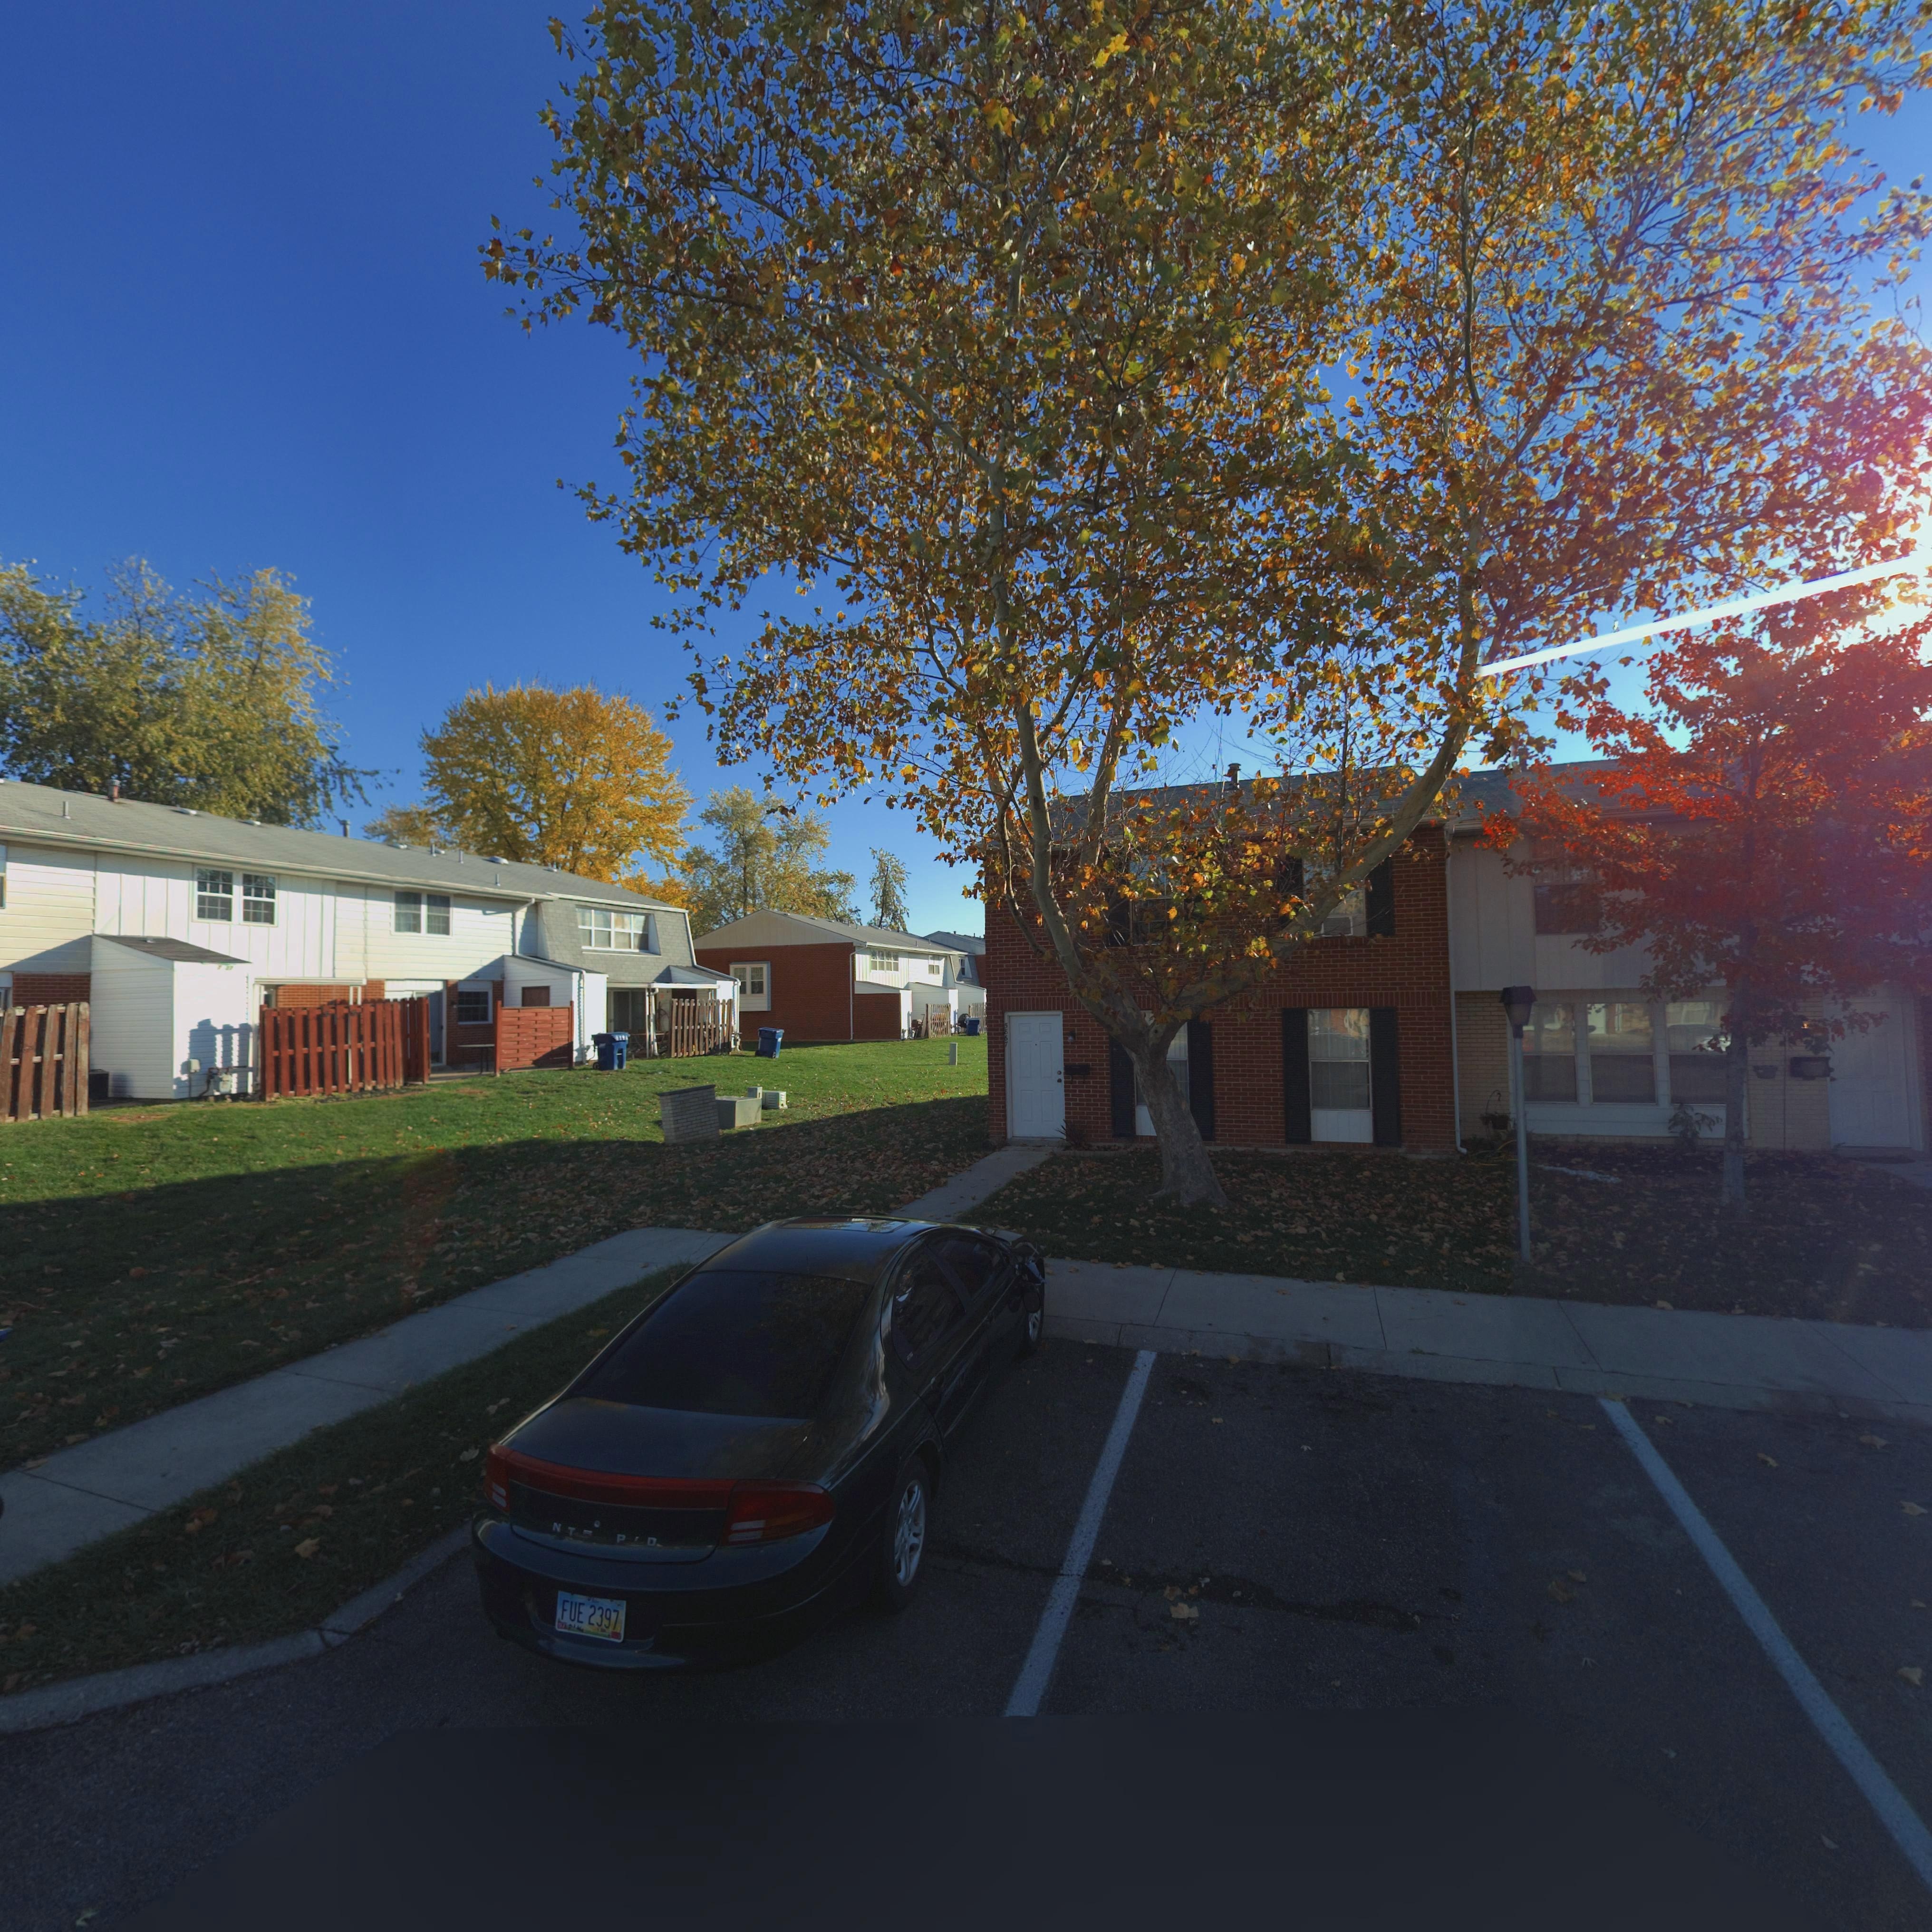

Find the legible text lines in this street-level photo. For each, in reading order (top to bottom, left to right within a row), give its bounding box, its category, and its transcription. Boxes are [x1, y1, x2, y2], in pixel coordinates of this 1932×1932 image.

[1003, 1022, 1009, 1047] StreetNumber: 5867